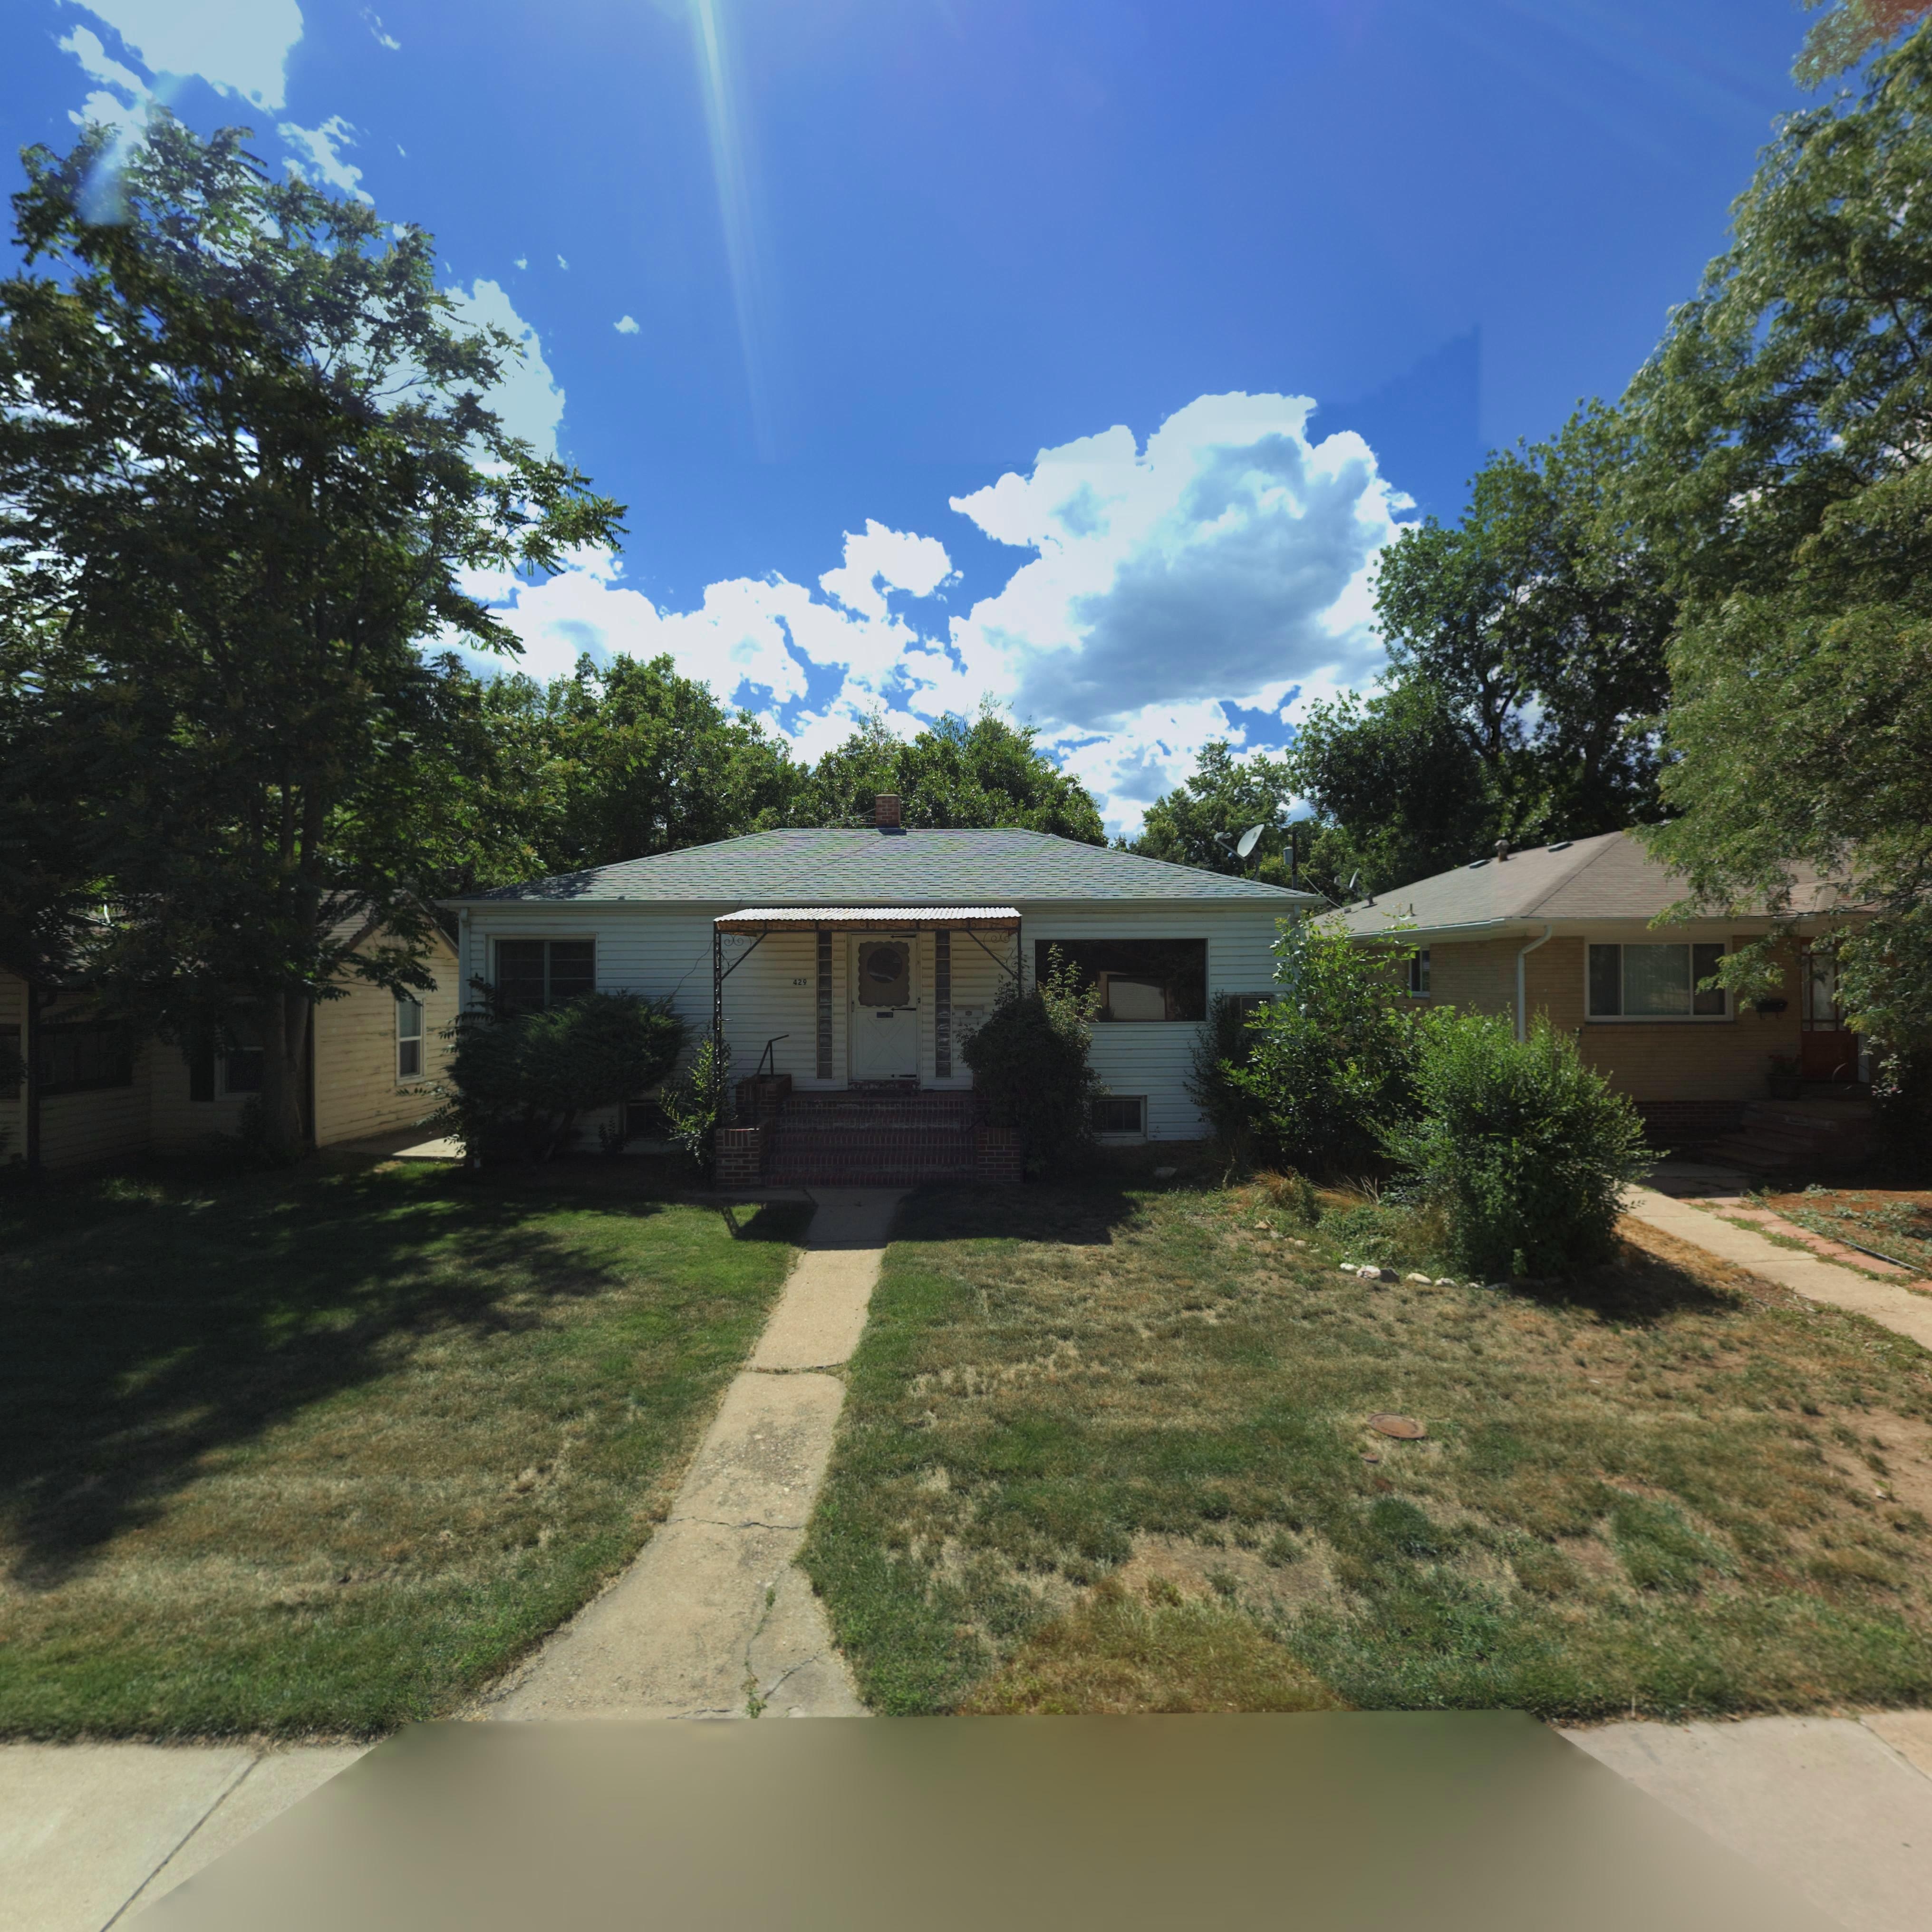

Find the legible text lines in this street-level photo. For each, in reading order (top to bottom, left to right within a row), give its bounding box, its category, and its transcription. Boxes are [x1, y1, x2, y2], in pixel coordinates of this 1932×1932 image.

[792, 978, 807, 985] StreetNumber: 429